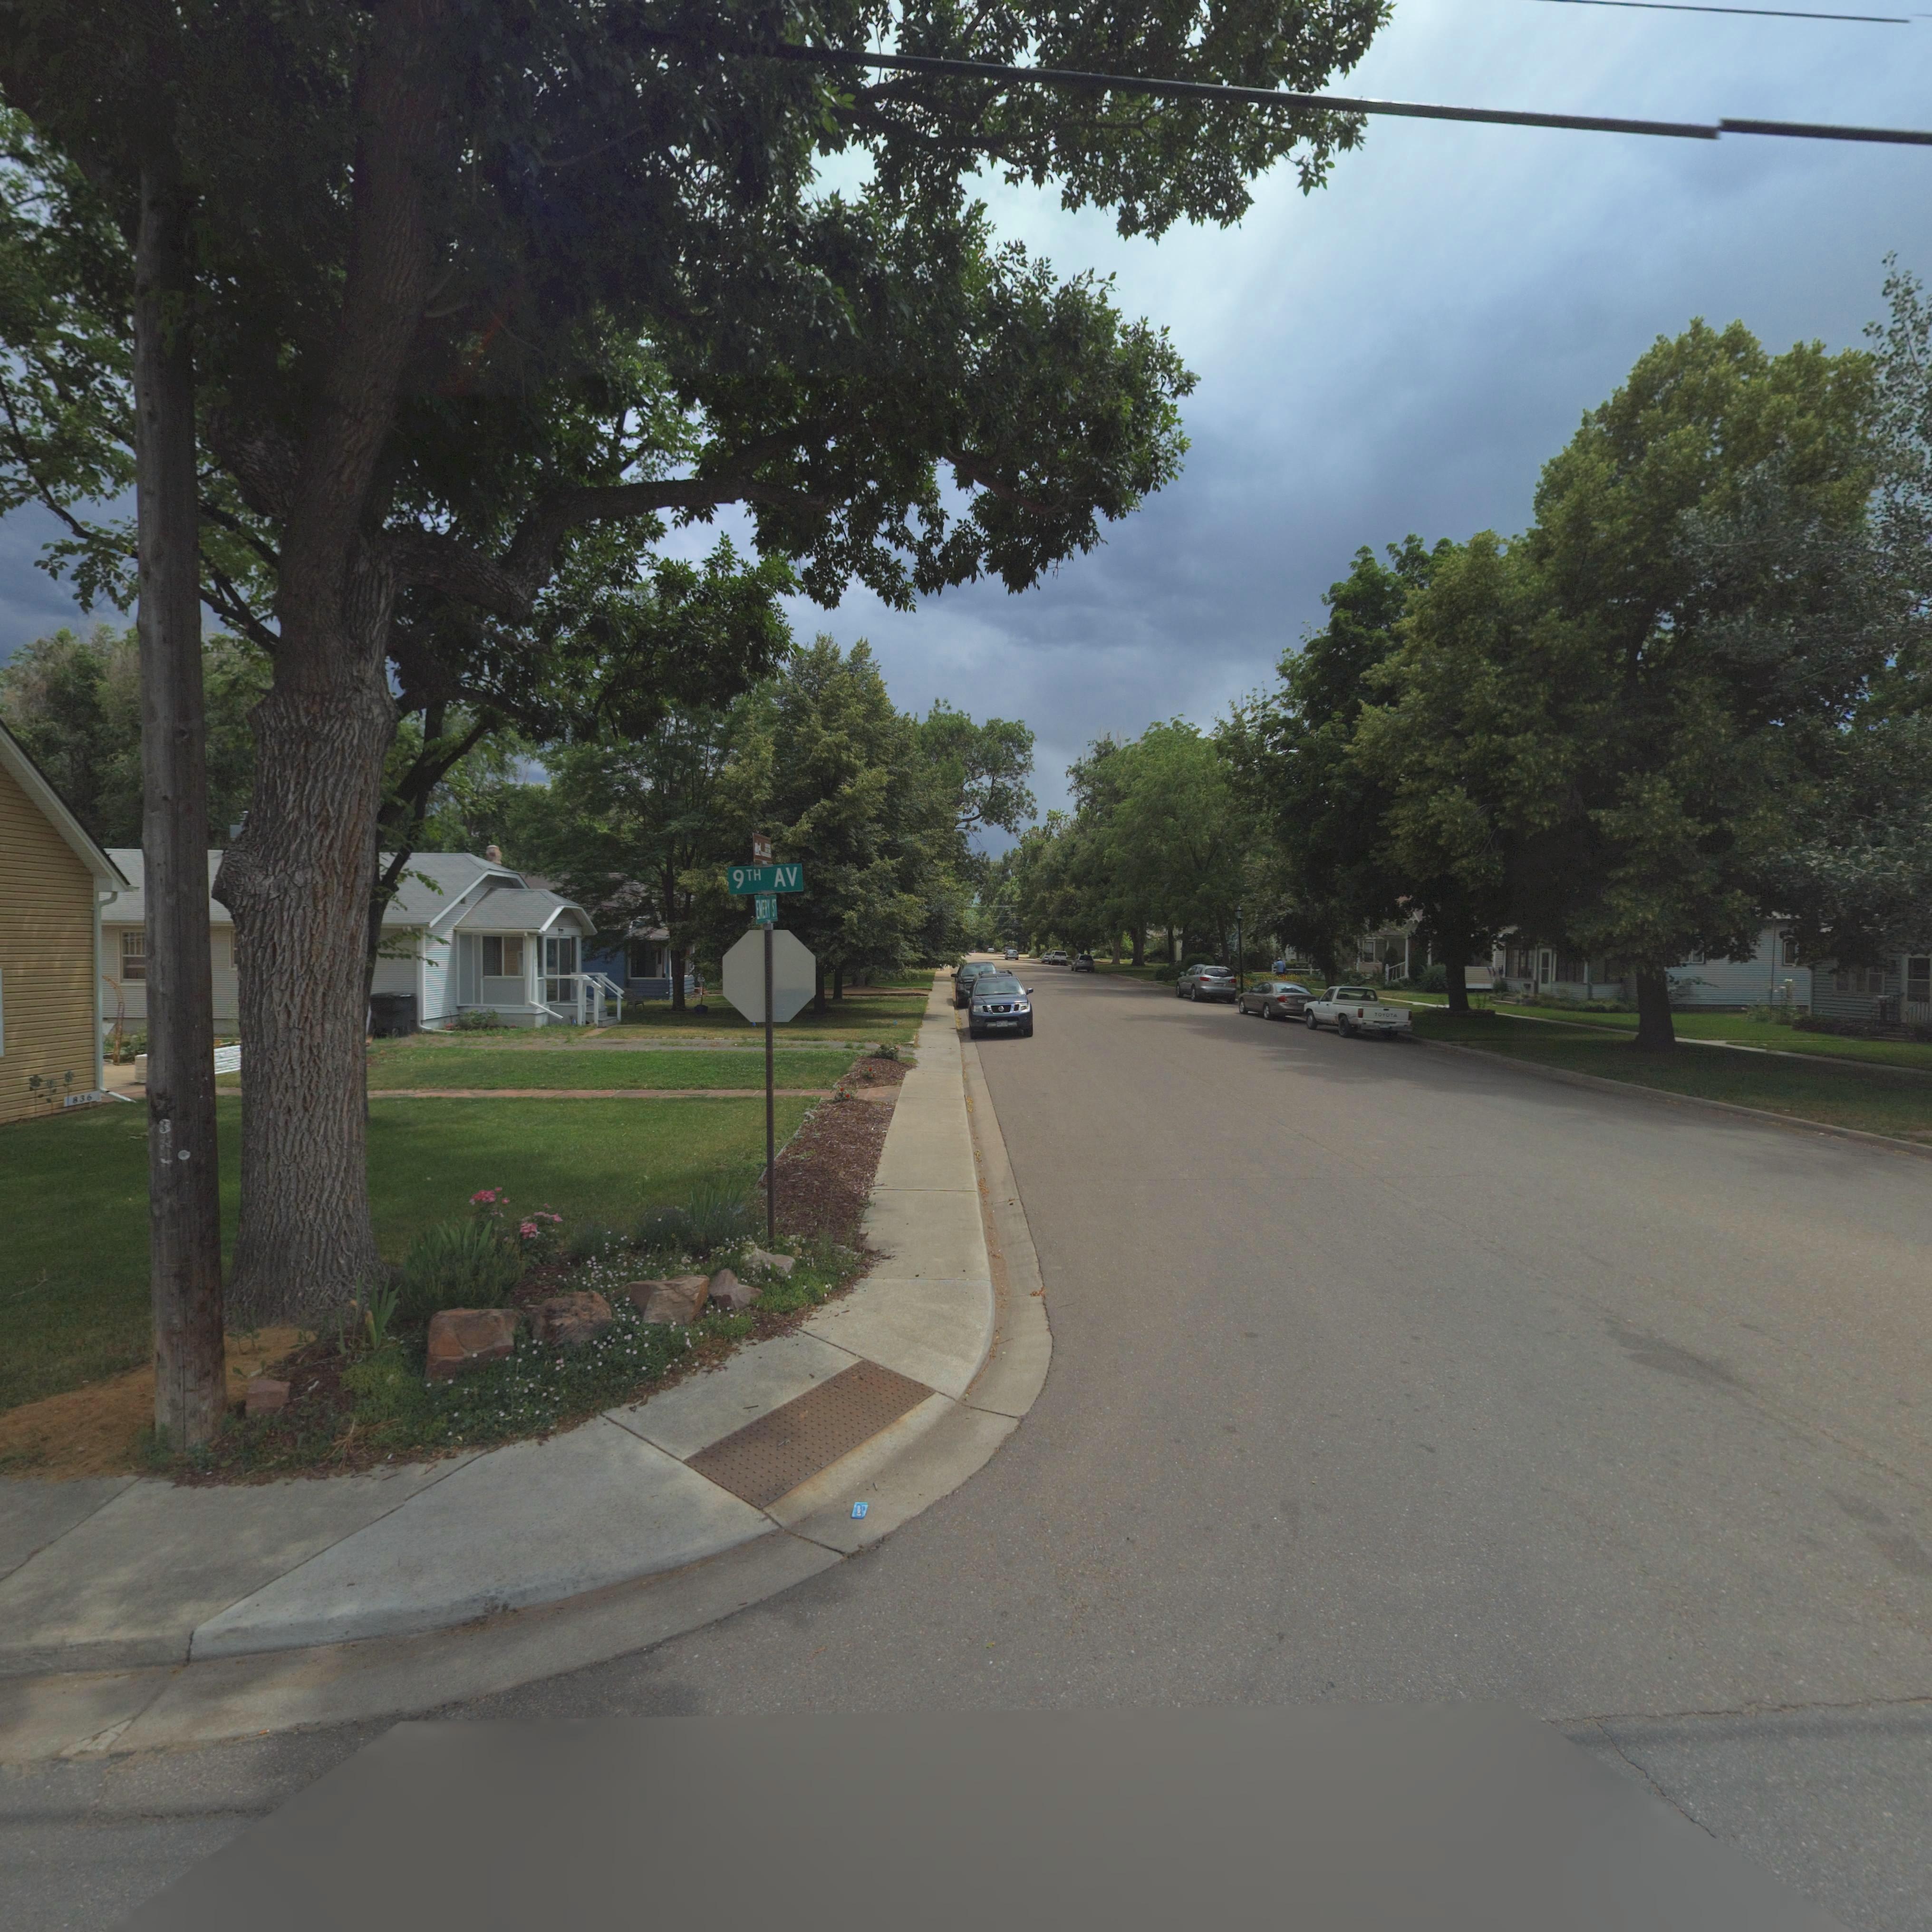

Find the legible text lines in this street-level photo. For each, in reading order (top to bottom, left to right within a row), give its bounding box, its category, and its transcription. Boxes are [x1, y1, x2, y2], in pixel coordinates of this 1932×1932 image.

[732, 866, 798, 889] StreetName: 9TH AV
[755, 898, 777, 920] StreetNumber: EMERY ST
[72, 1093, 92, 1104] StreetNumber: 836